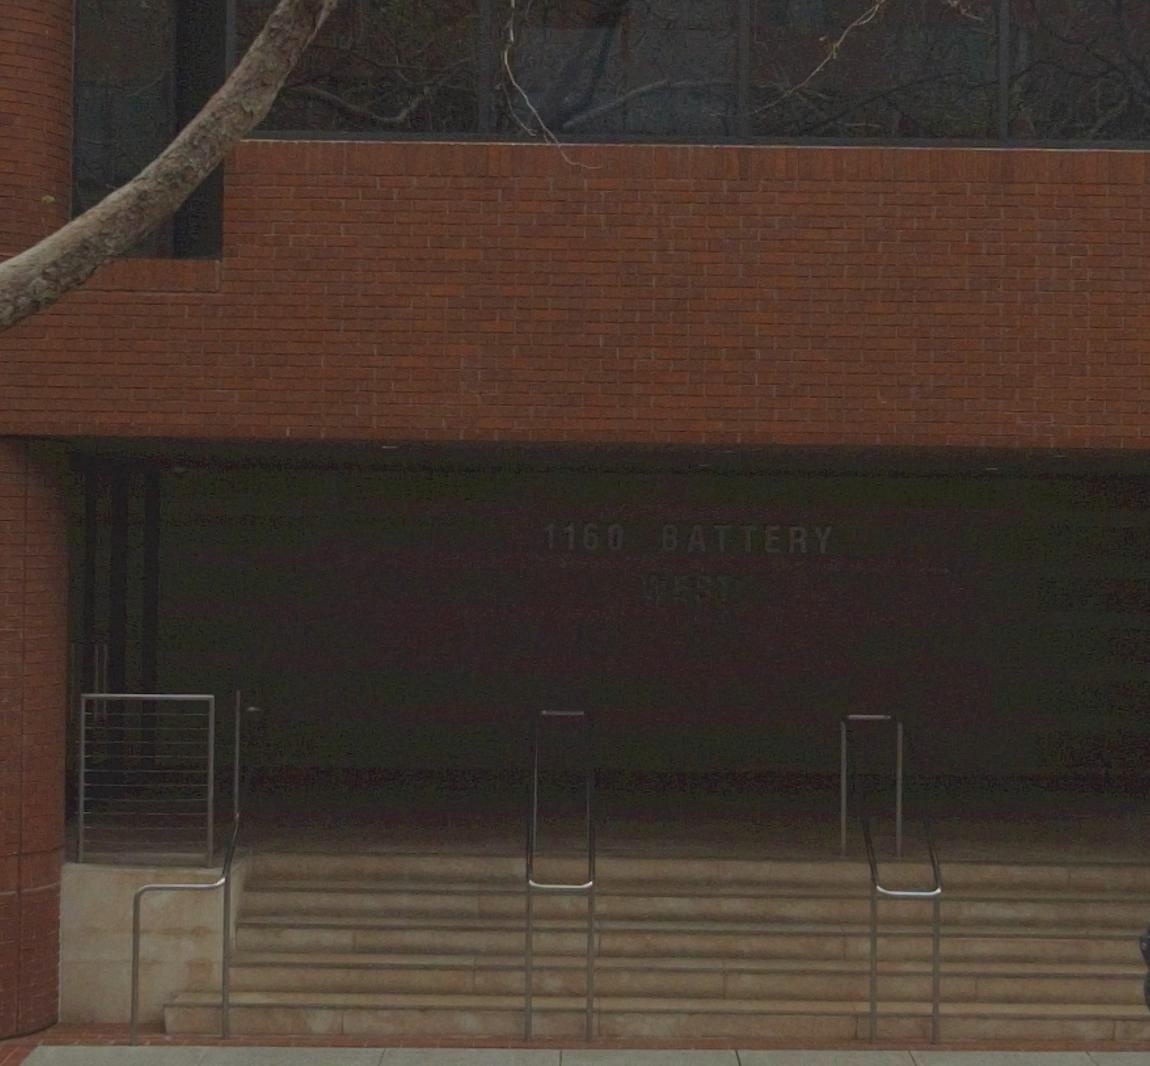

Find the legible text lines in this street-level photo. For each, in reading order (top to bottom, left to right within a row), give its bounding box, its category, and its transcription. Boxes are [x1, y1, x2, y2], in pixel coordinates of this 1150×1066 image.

[540, 520, 629, 554] StreetNumber: 1160
[659, 520, 838, 557] StreetName: BATTERY
[634, 571, 740, 607] None: WEST